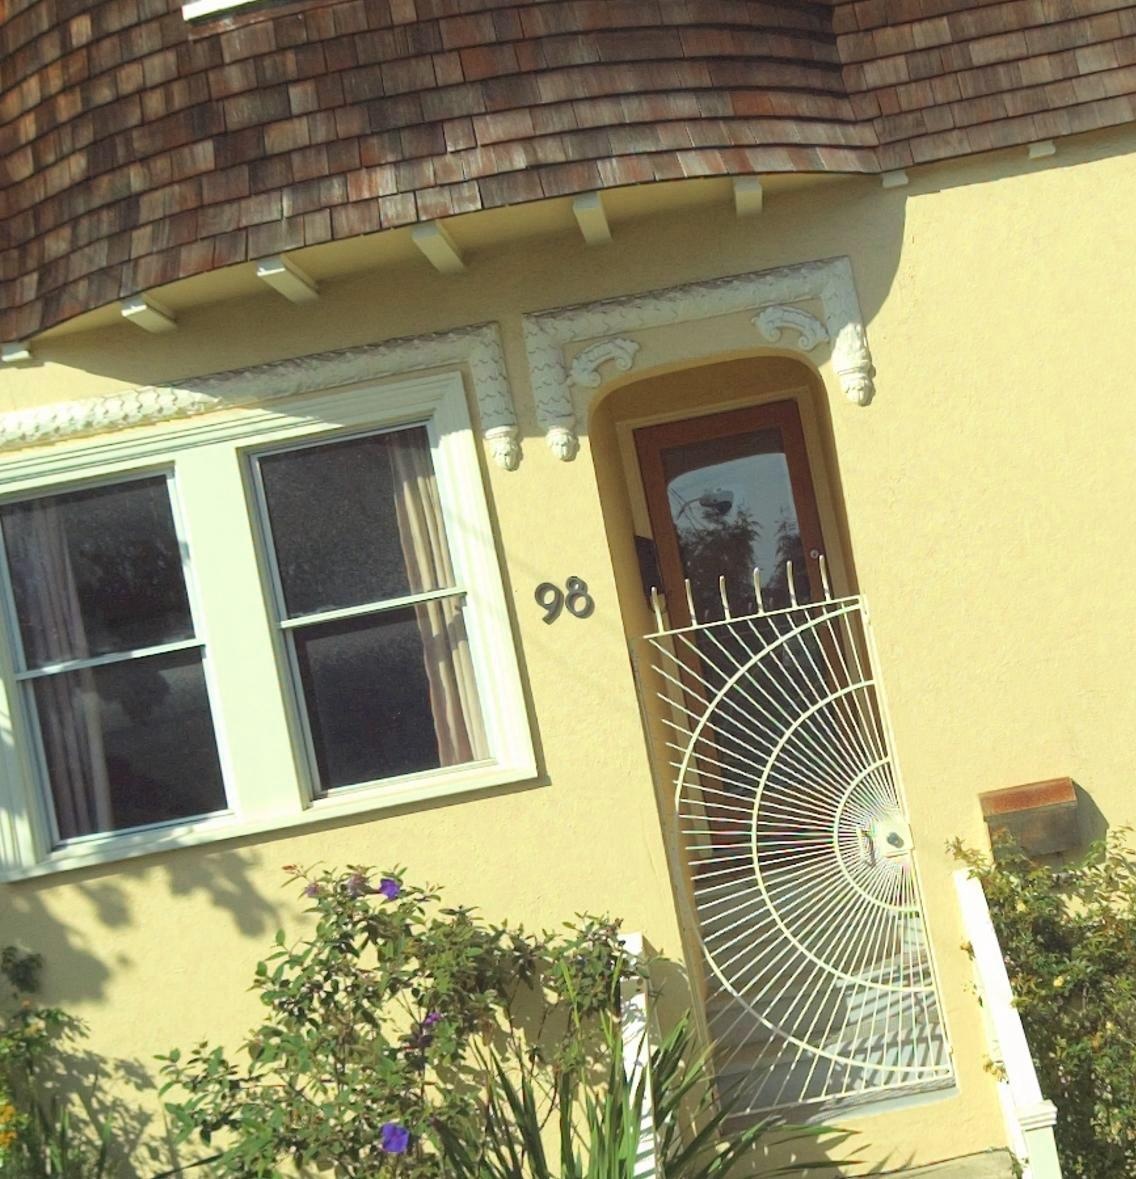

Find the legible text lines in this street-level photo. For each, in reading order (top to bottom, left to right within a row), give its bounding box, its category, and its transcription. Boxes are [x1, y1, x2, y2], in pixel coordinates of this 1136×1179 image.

[530, 572, 602, 627] StreetNumber: 98